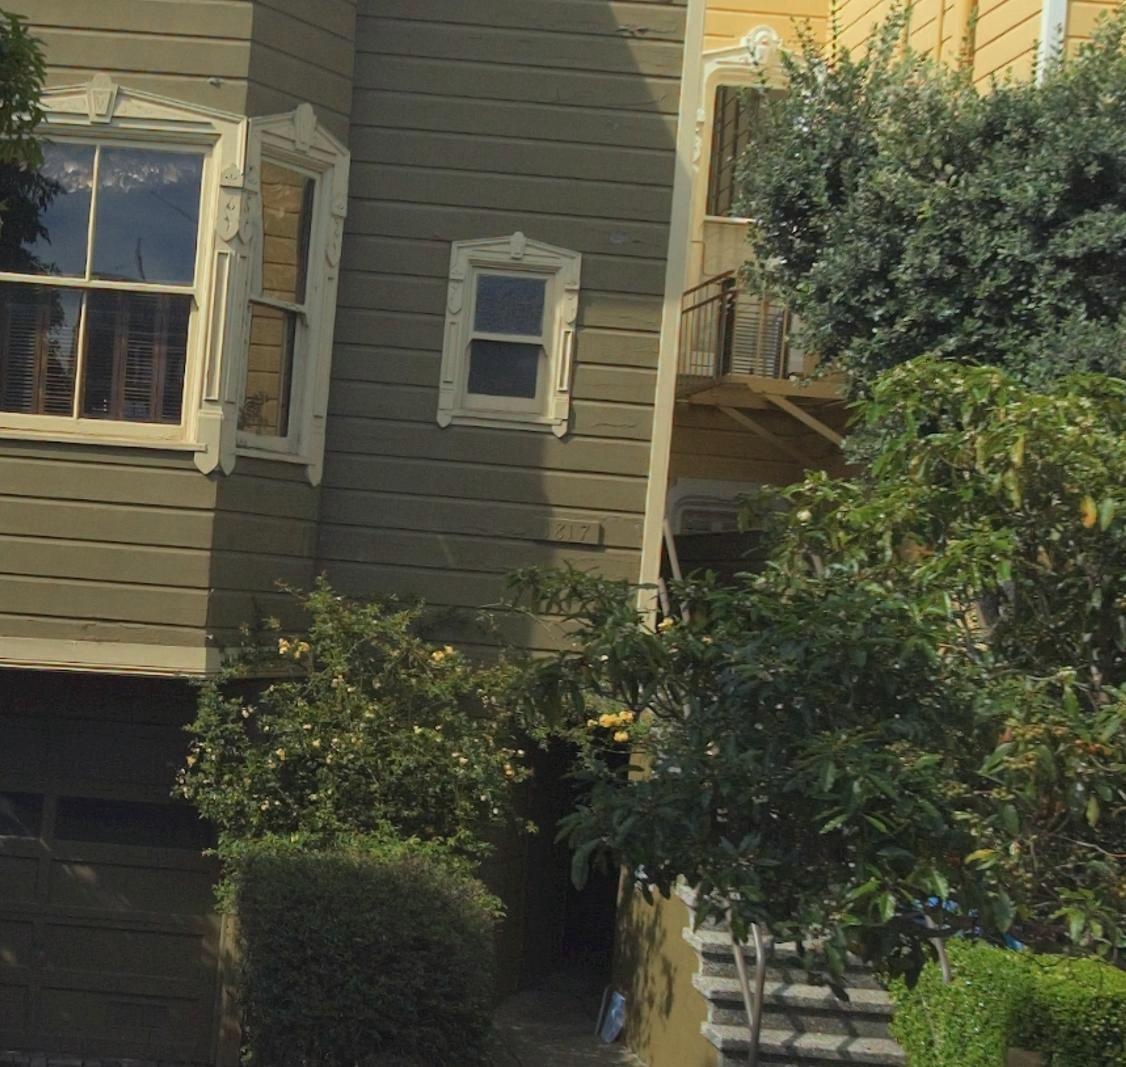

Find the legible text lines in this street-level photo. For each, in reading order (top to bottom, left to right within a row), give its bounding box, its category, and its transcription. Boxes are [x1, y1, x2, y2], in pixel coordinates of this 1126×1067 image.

[552, 521, 592, 543] StreetNumber: 817